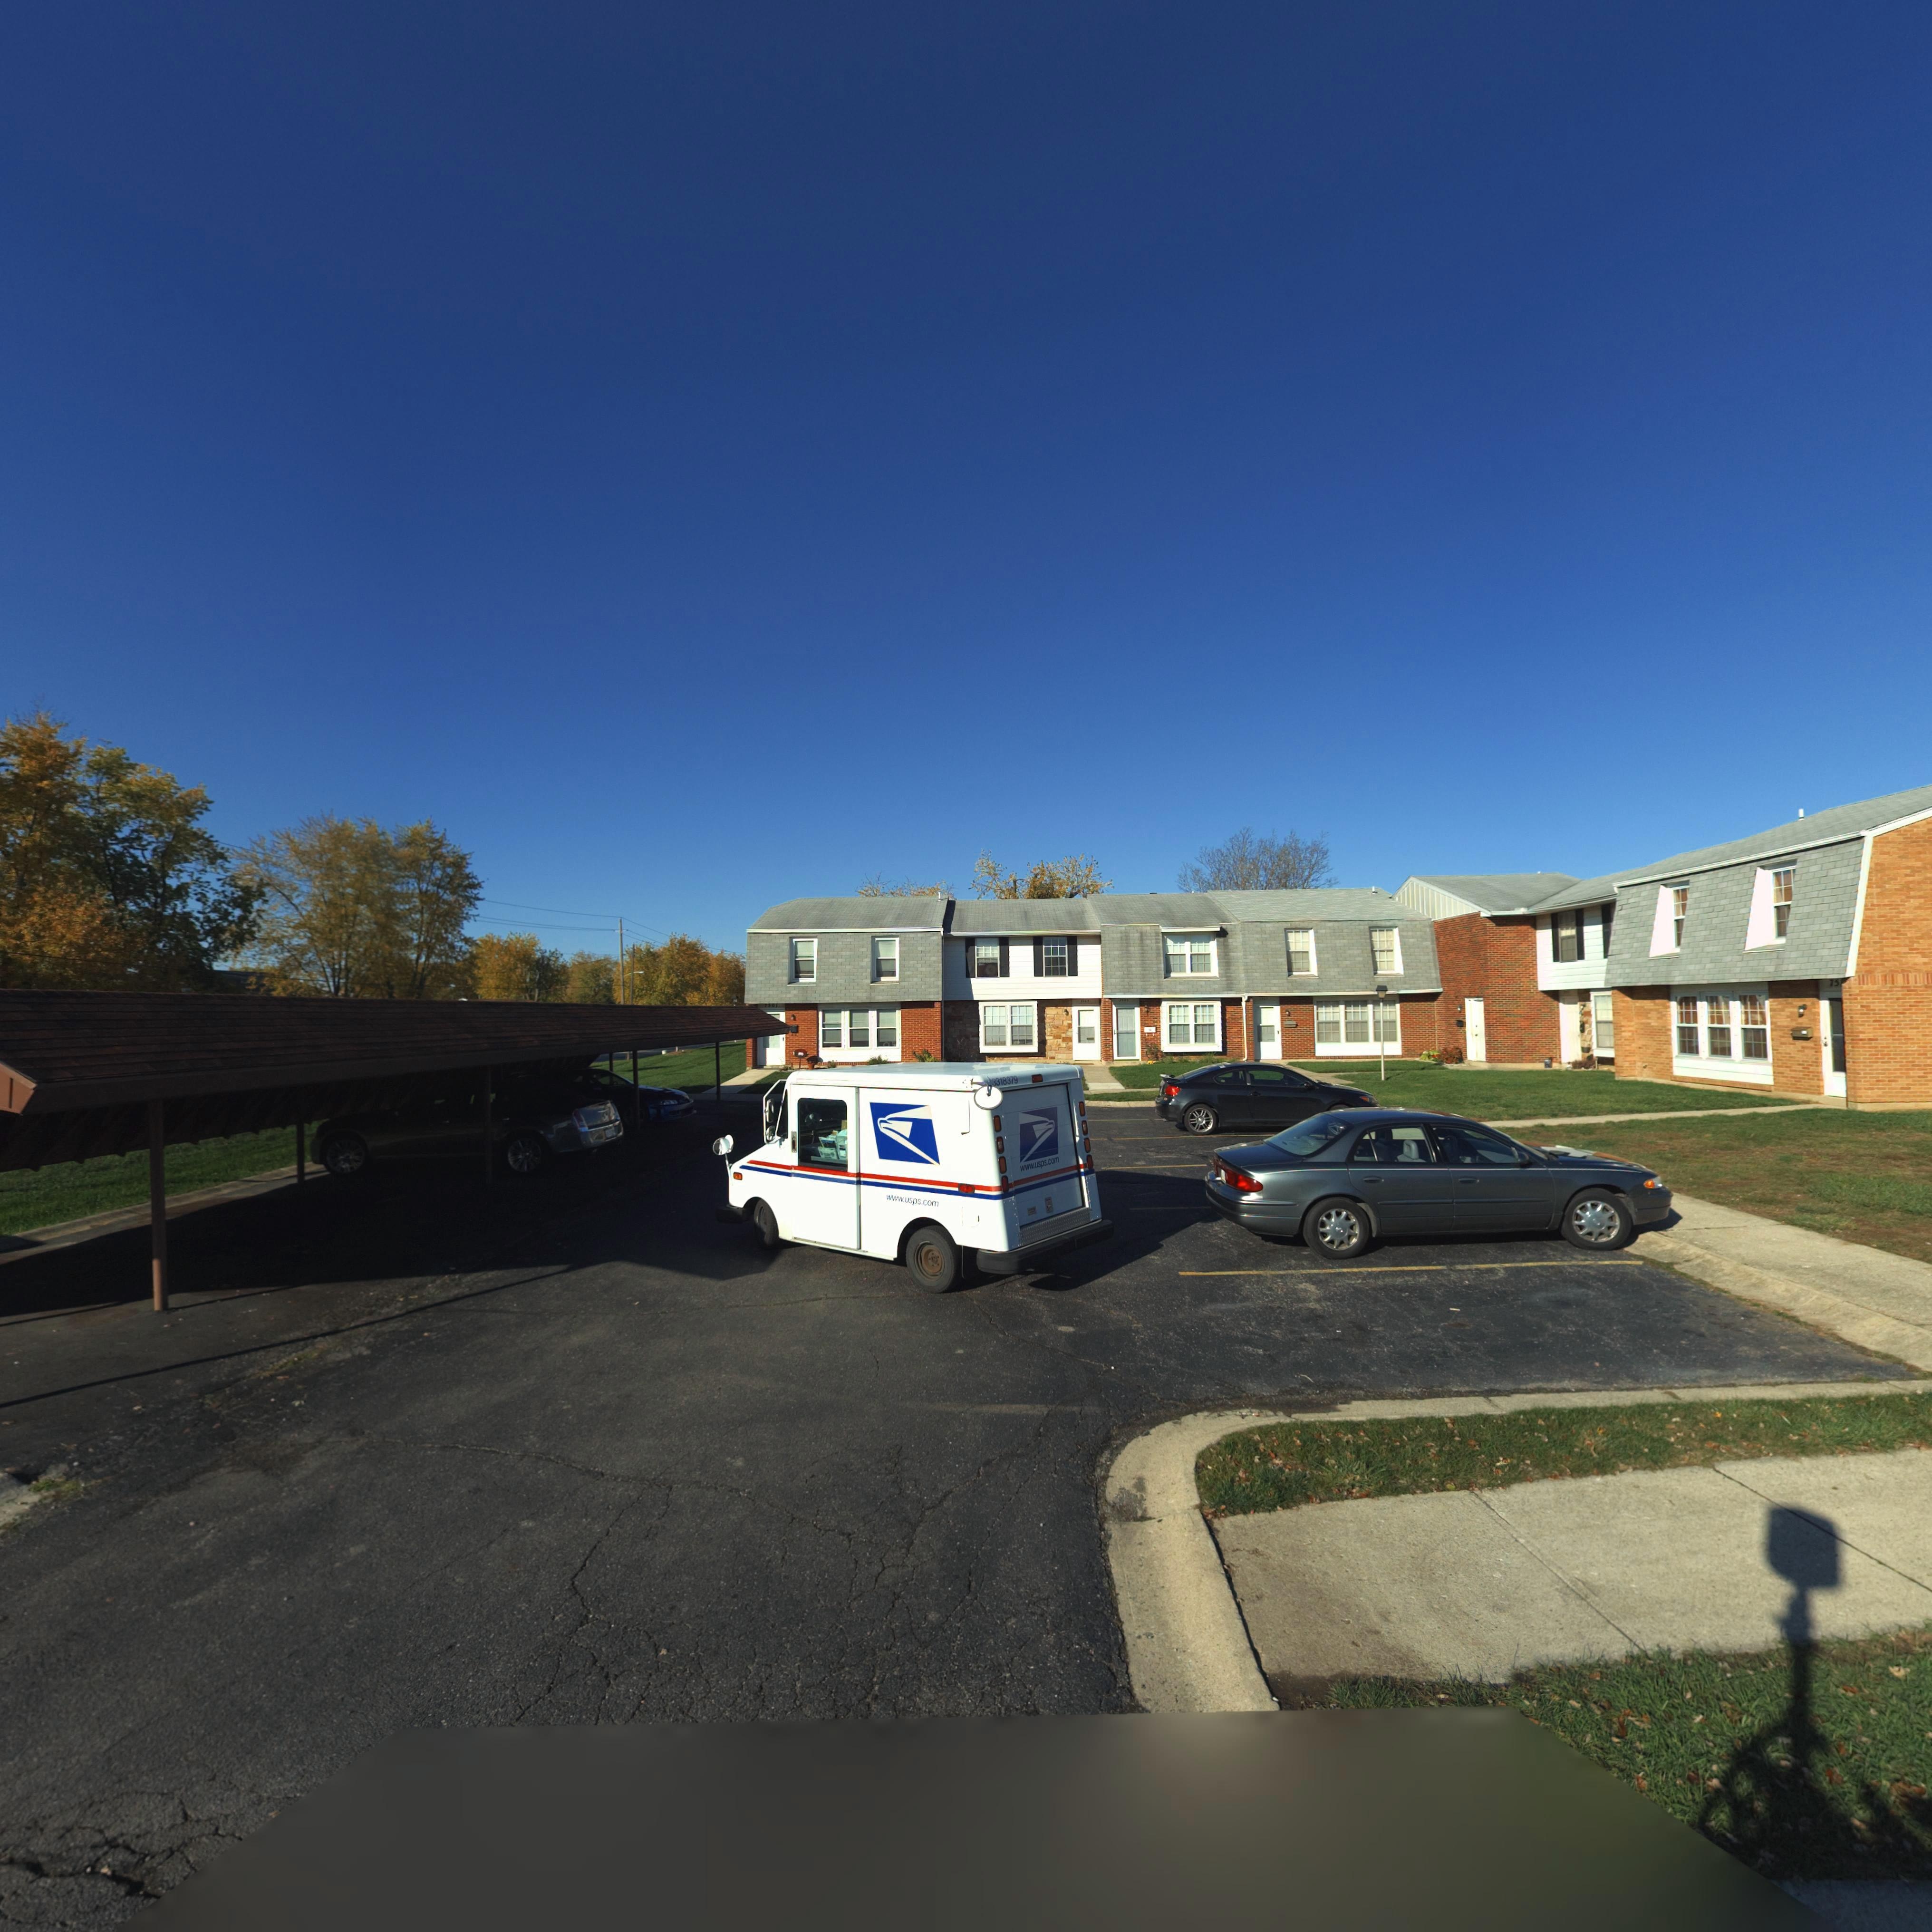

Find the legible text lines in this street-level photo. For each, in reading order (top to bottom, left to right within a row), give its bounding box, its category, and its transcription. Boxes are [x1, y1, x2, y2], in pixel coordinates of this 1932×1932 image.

[1829, 978, 1840, 987] StreetNumber: 75
[1080, 998, 1090, 1003] StreetNumber: **0*
[1118, 998, 1129, 1003] StreetNumber: 7505
[1258, 996, 1269, 1000] StreetNumber: 7***
[764, 1003, 778, 1008] StreetNumber: 7501